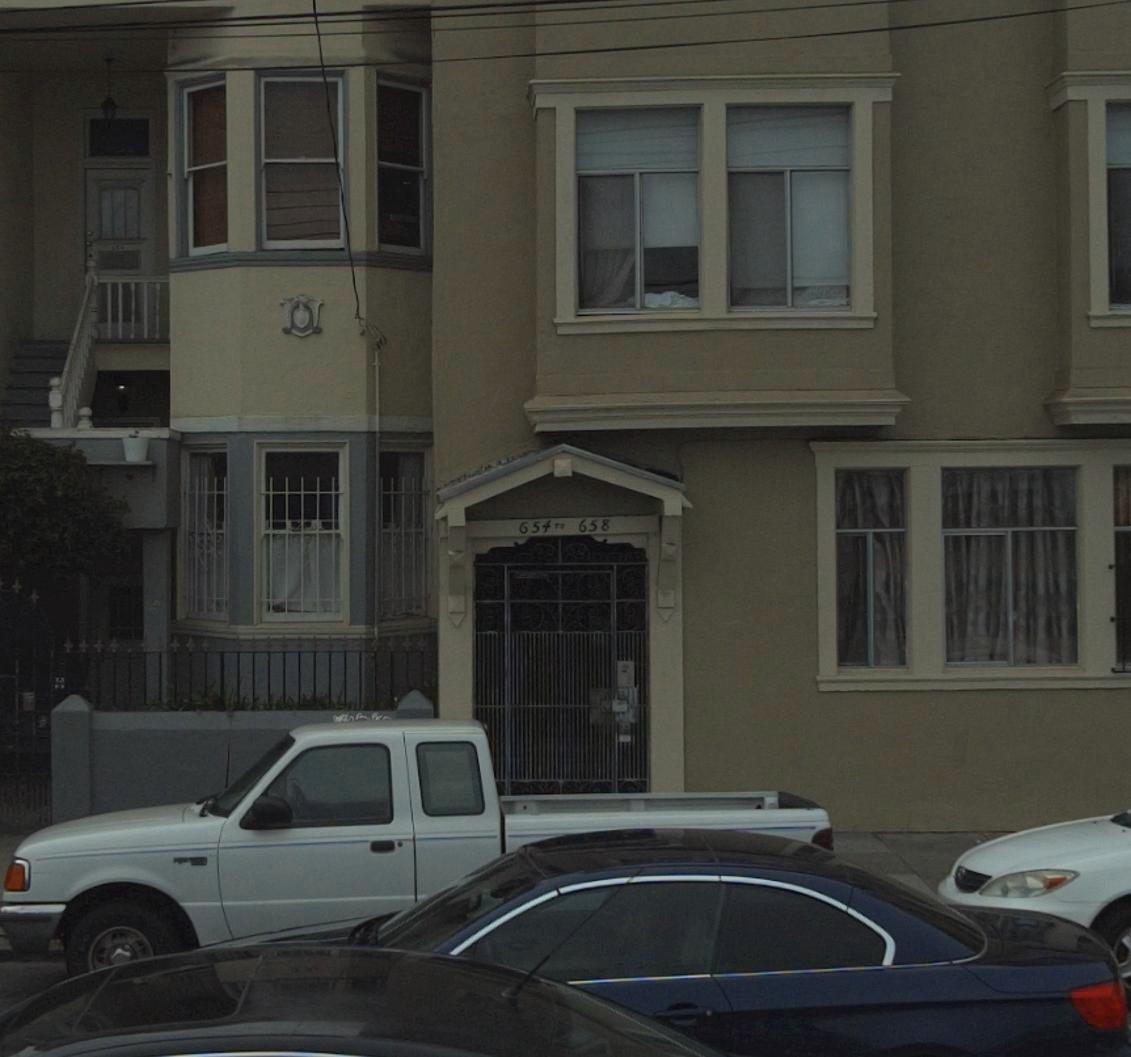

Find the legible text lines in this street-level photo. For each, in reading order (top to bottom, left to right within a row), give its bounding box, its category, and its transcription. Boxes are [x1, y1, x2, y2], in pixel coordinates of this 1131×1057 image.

[517, 519, 553, 535] StreetNumber: 654
[578, 518, 611, 534] StreetNumber: 658